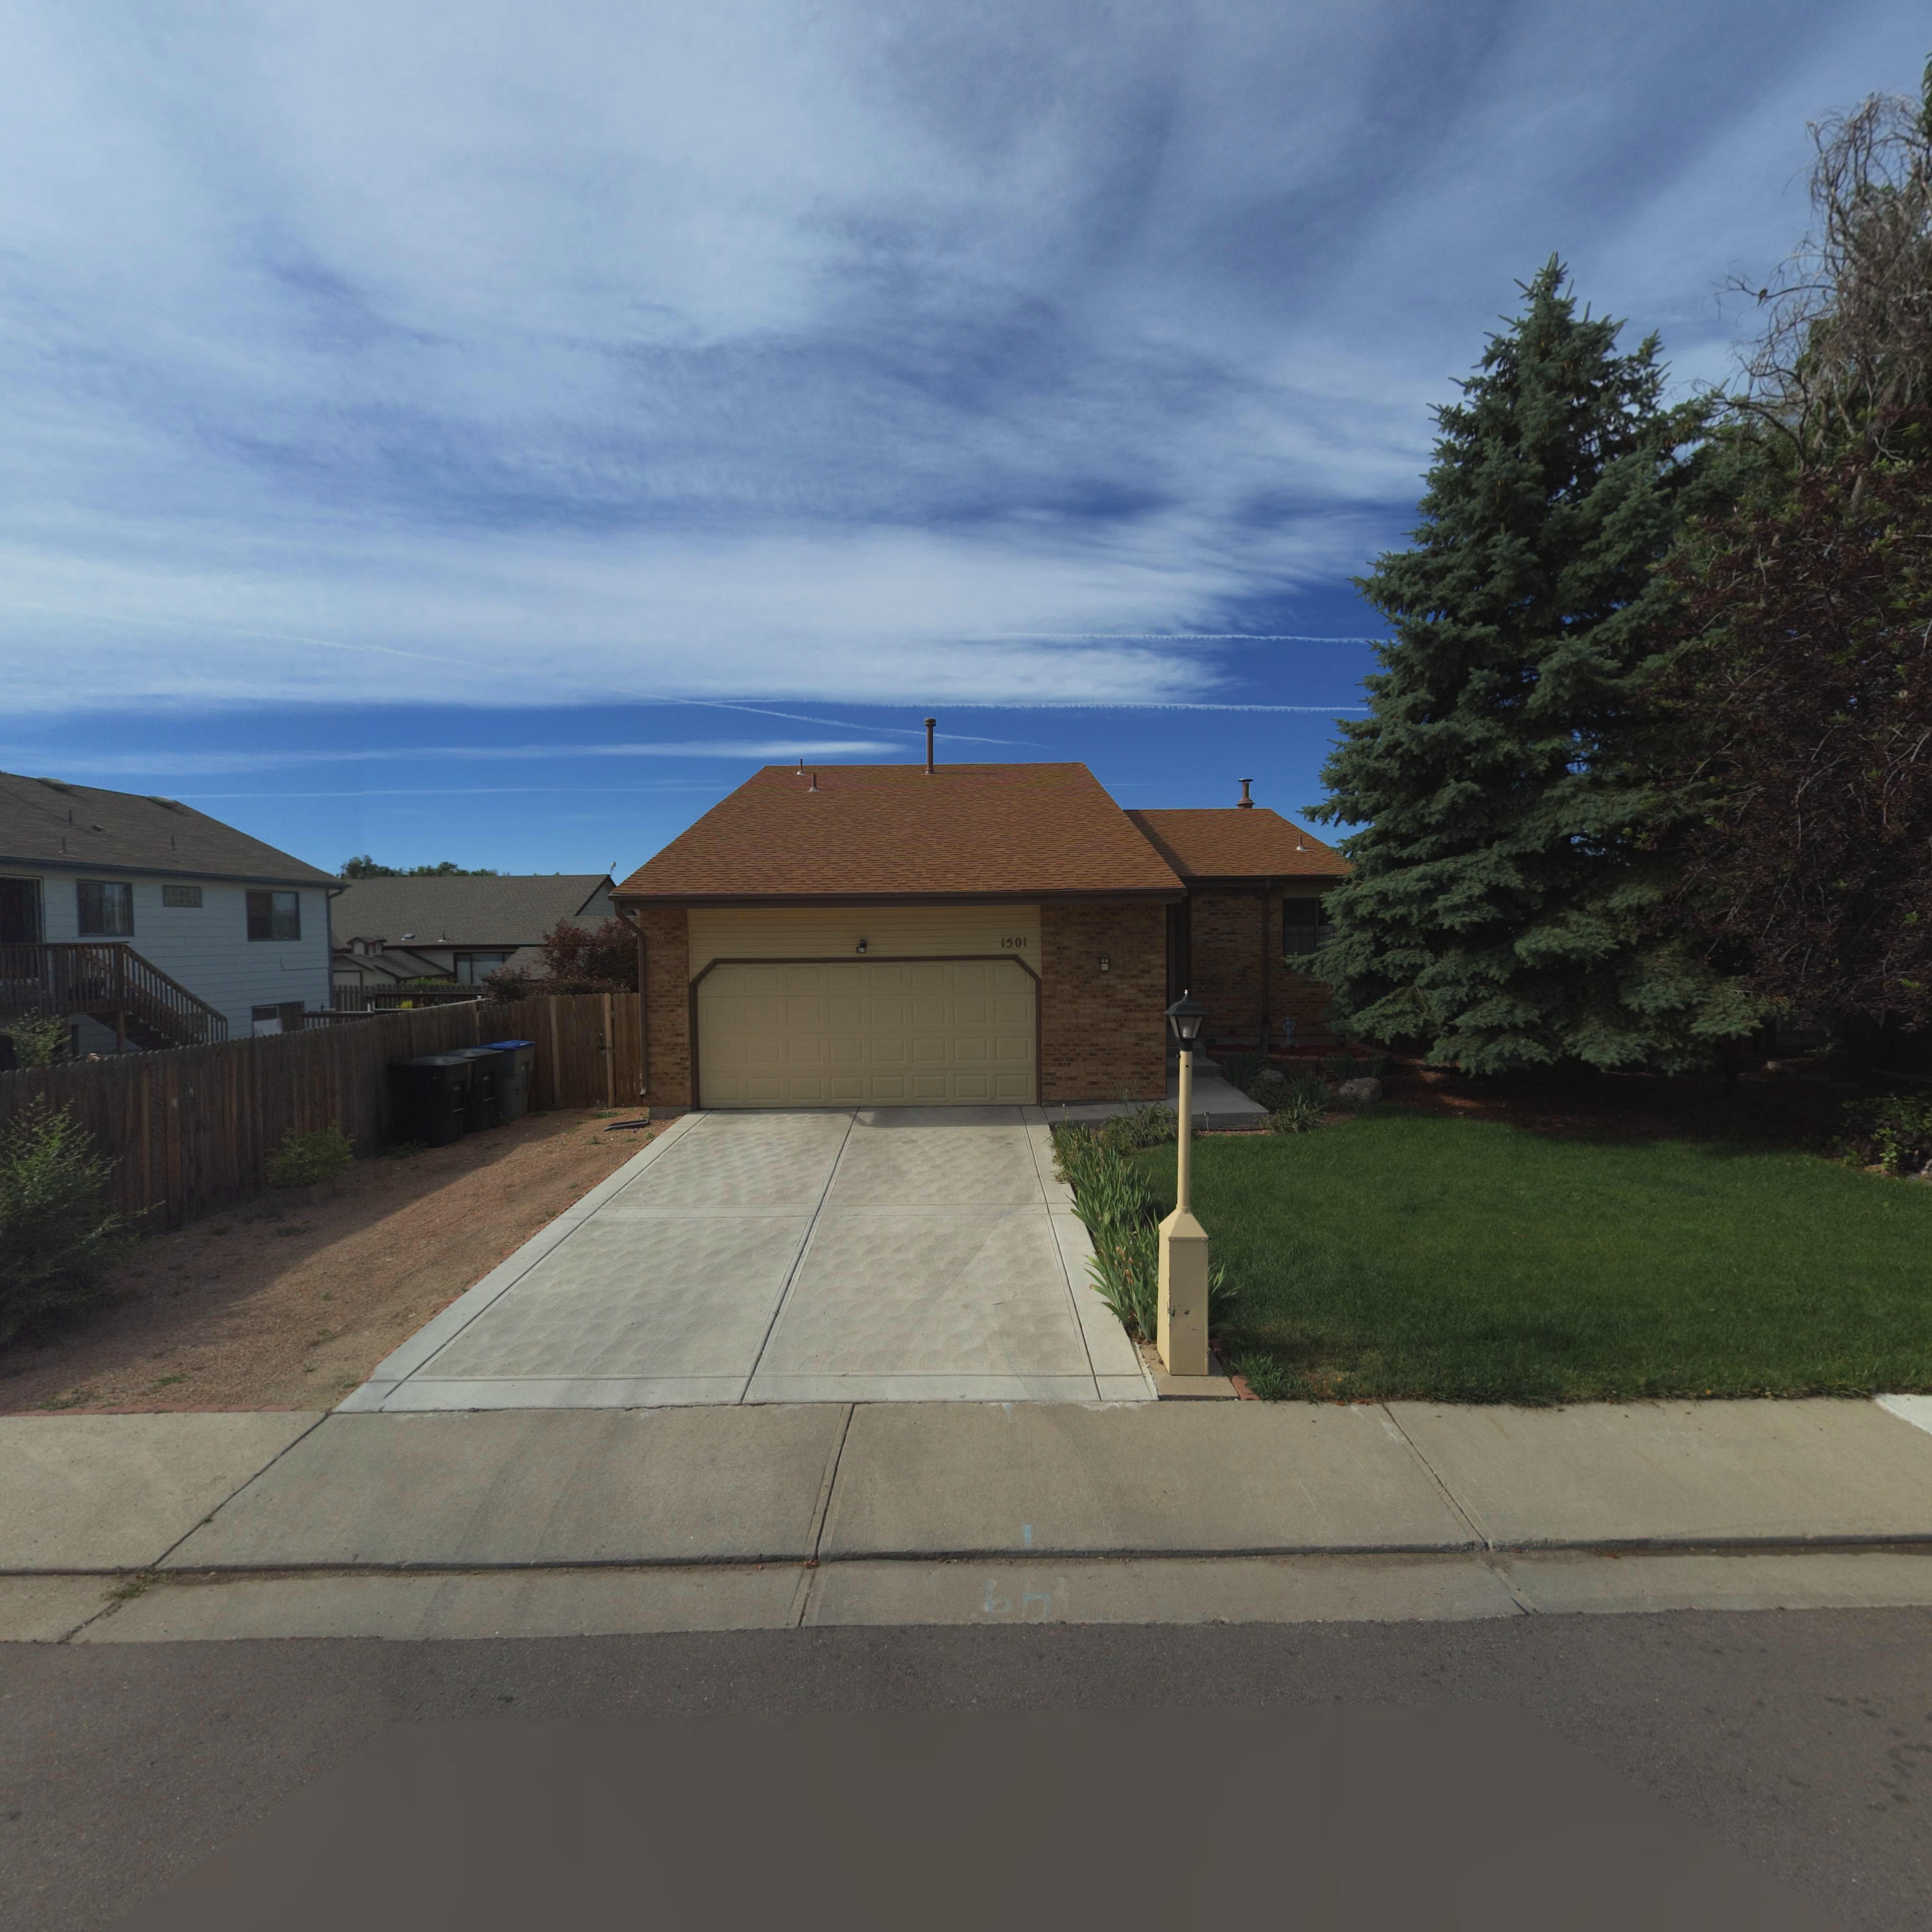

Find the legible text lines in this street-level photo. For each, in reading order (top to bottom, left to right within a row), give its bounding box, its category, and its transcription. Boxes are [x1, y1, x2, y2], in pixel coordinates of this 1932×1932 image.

[1001, 937, 1027, 948] StreetNumber: 1501